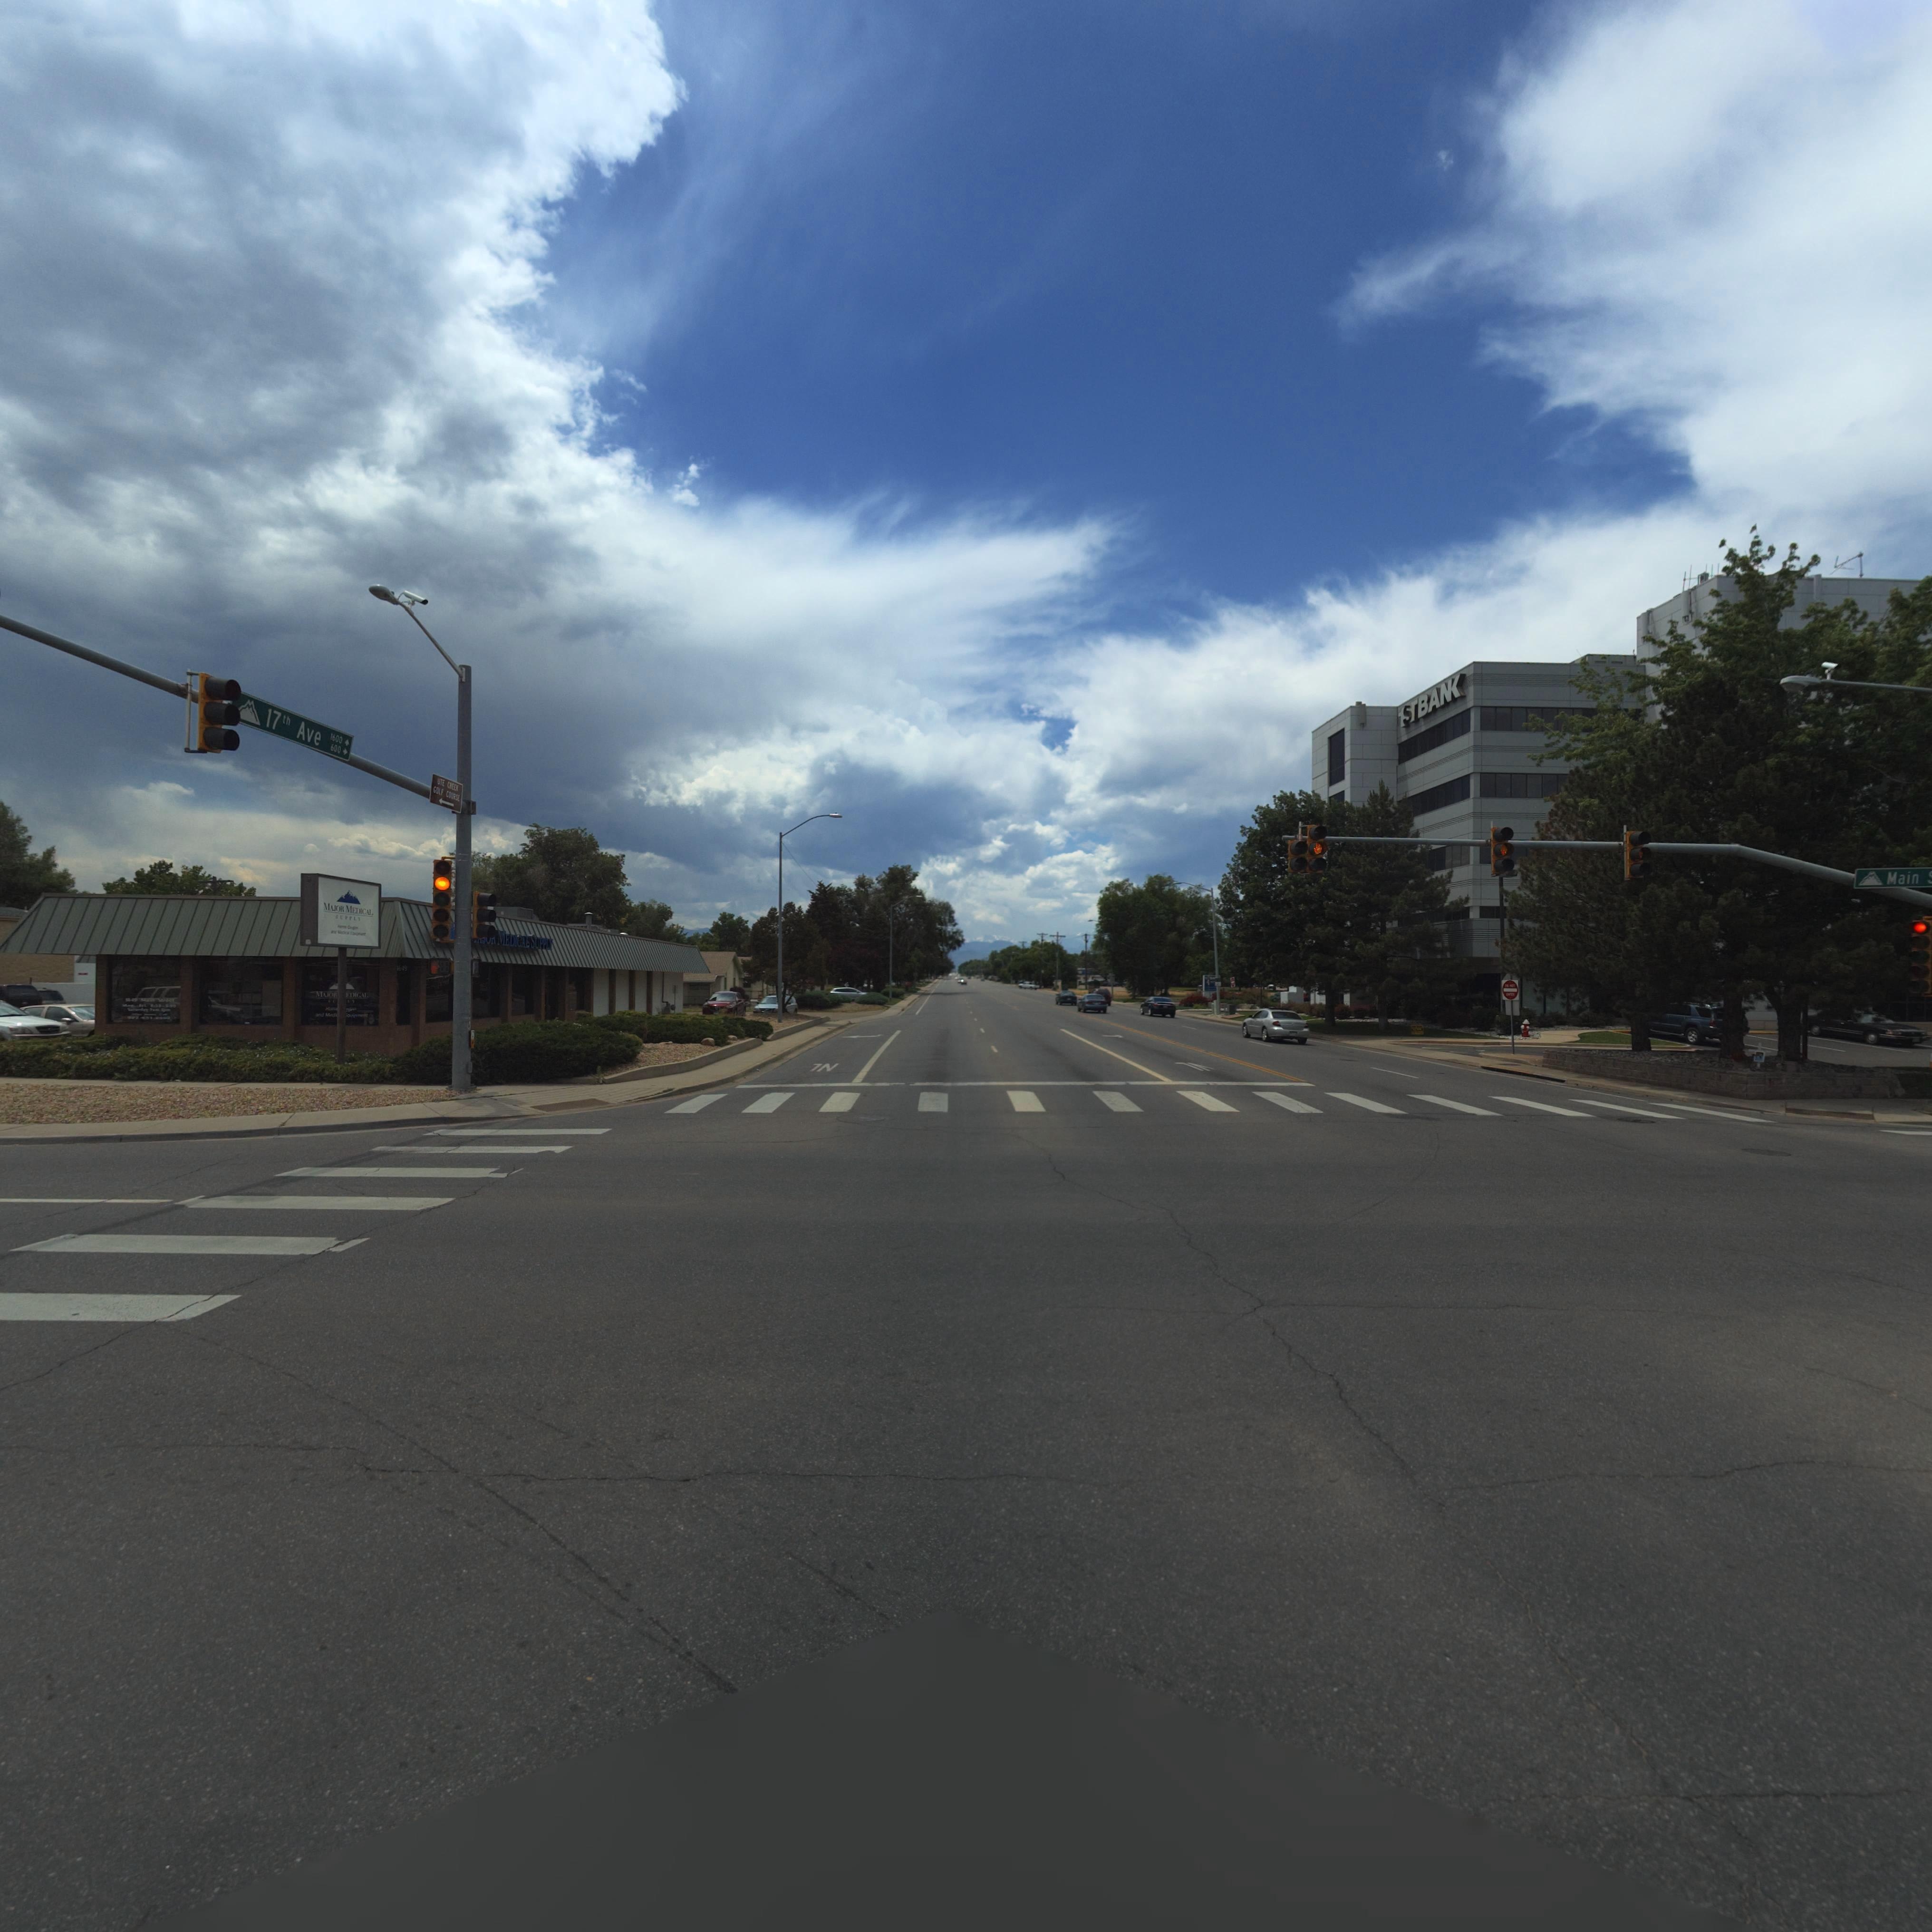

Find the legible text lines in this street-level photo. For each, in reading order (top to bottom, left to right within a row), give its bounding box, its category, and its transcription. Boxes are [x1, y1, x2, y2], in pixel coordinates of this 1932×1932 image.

[1397, 672, 1461, 729] BusinessName: 1S*BAN*
[265, 708, 321, 747] StreetName: 17th Ave
[330, 732, 343, 744] StreetNumberRange: 1600
[330, 743, 348, 755] StreetNumberRange: 600->
[1886, 871, 1919, 885] StreetName: Main
[323, 902, 374, 916] BusinessName: M**OR ME**CAL
[335, 914, 362, 921] BusinessName: *U*PL*
[496, 929, 553, 950] BusinessName: *EDIC*L SUPP**
[396, 964, 407, 972] StreetNumber: ***9
[316, 991, 369, 998] BusinessName: MA*O* ***I*AL